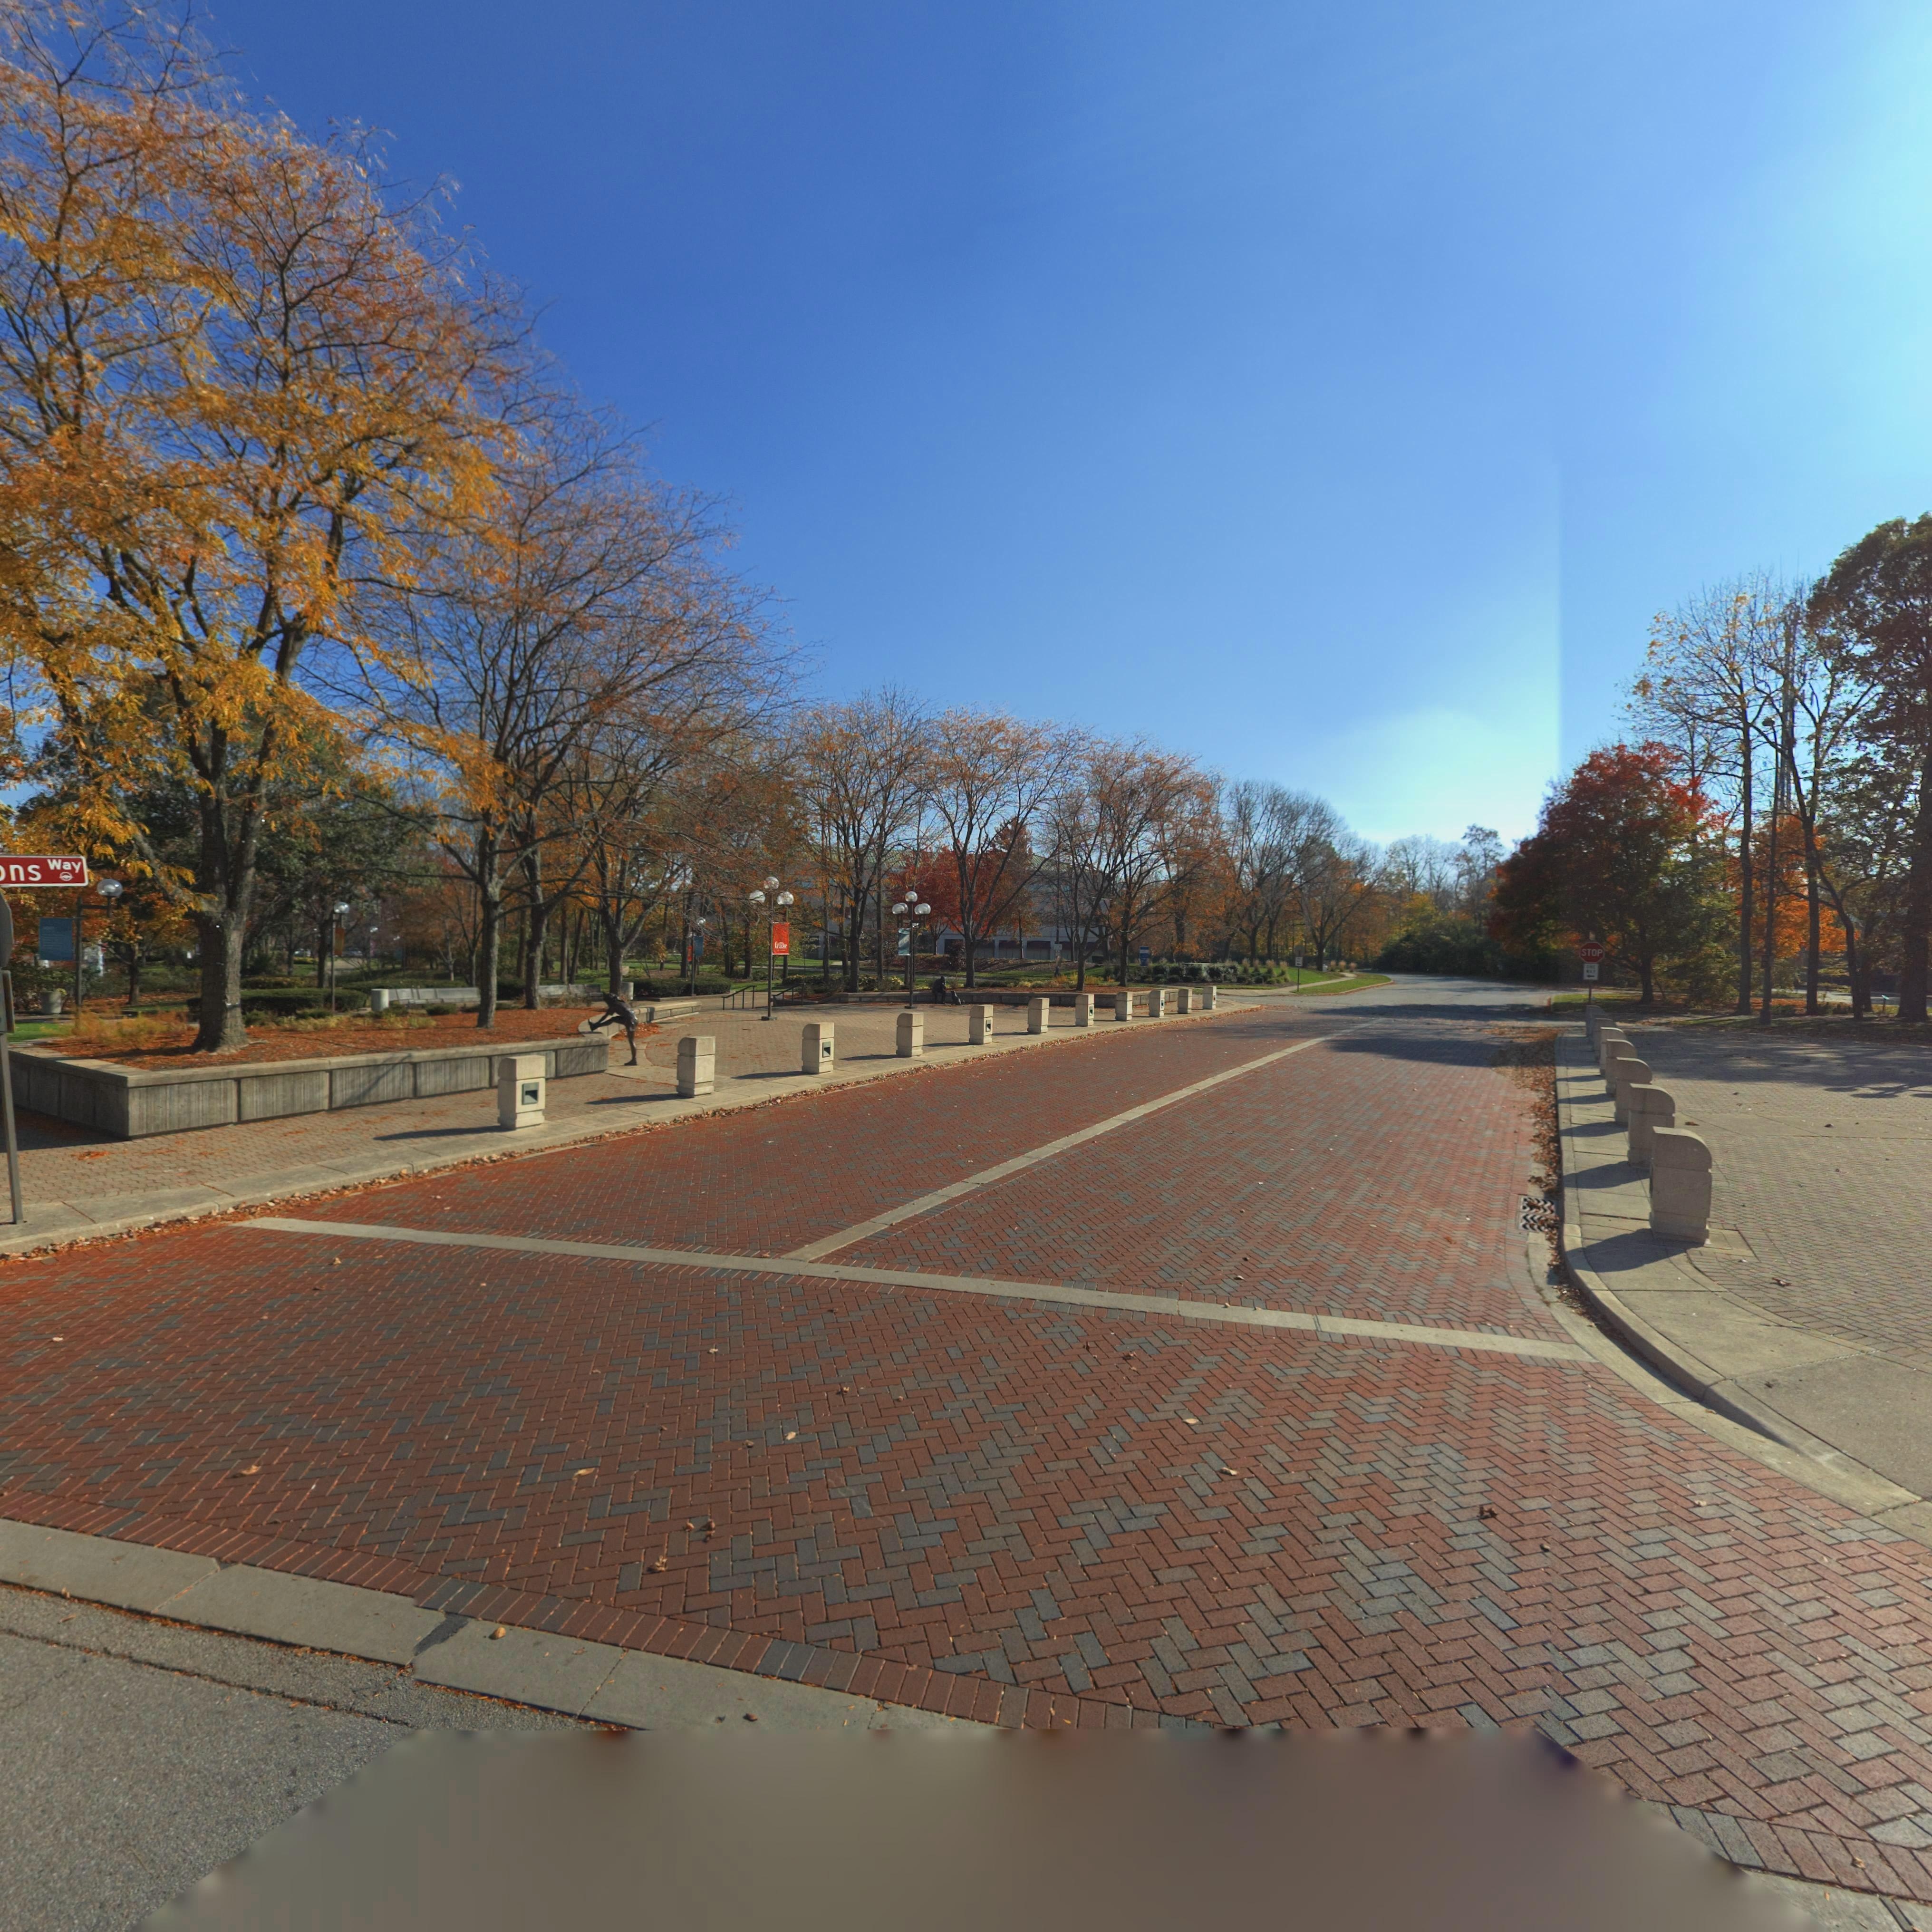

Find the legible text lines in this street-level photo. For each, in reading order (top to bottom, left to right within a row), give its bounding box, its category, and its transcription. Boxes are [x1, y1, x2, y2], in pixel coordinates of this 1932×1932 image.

[9, 858, 82, 882] StreetName: ns Way
[1581, 948, 1603, 956] None: STOP
[1585, 965, 1596, 969] None: ONE
[1585, 969, 1596, 974] None: WAY